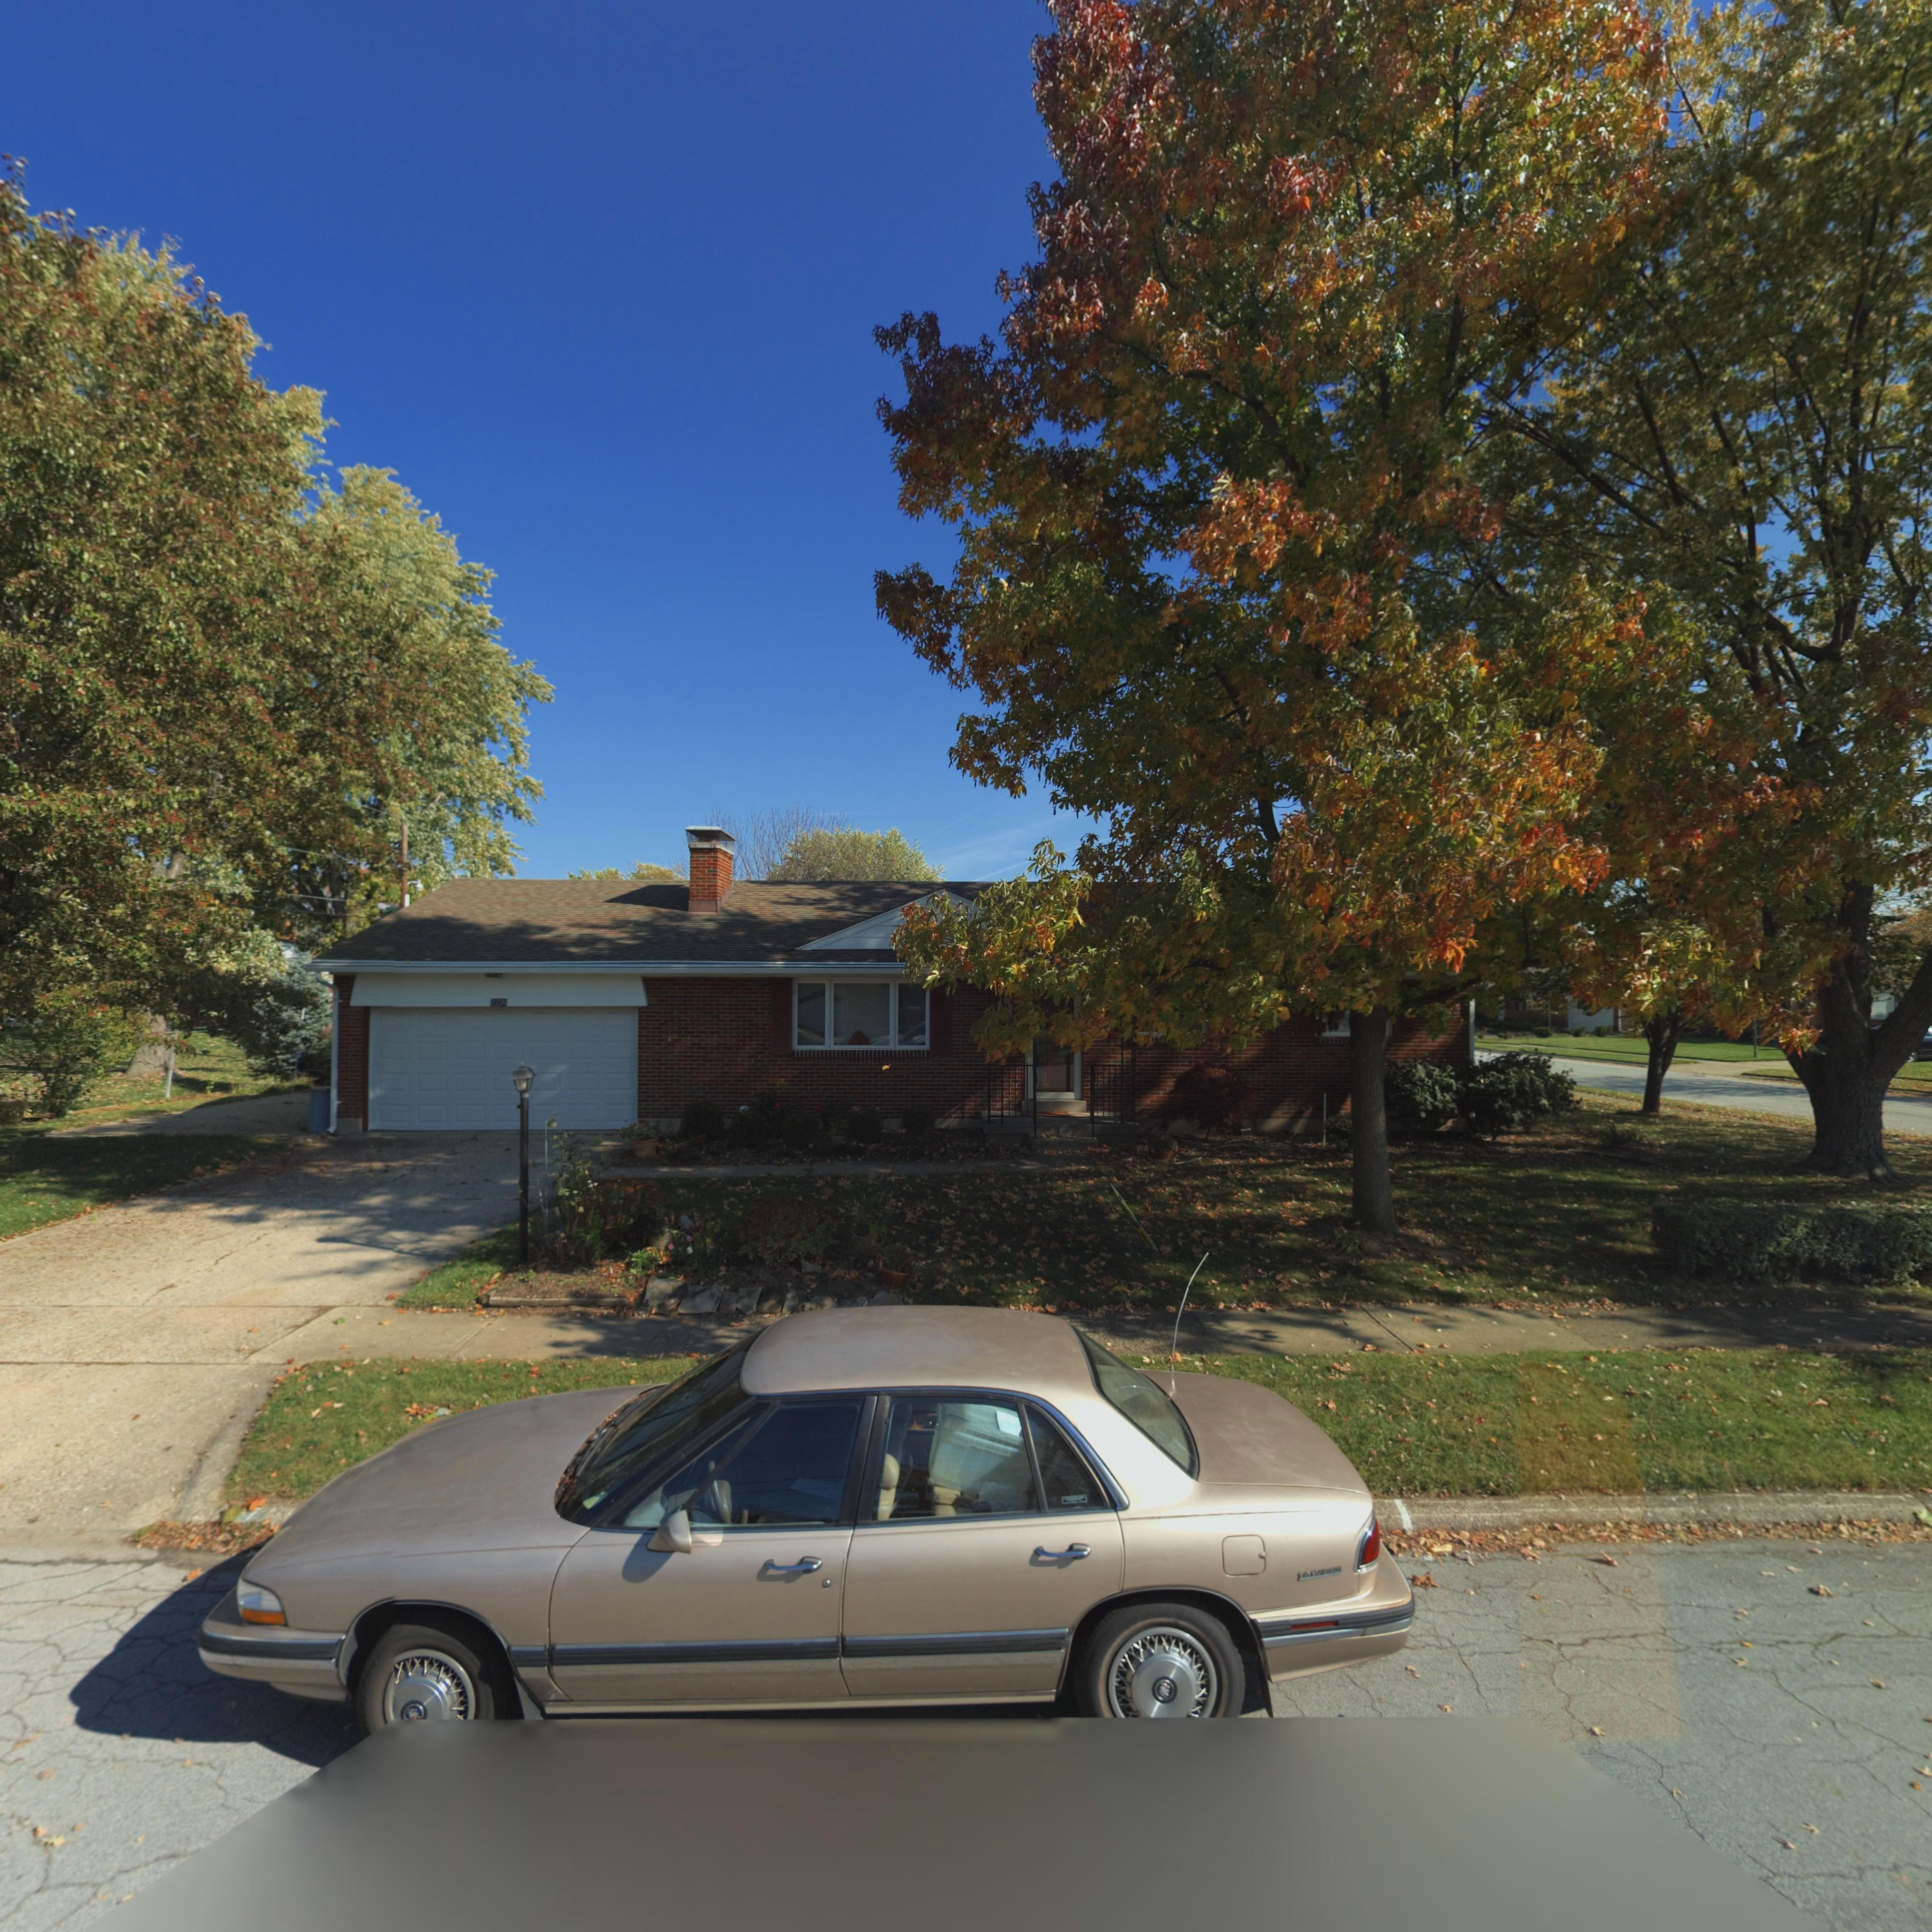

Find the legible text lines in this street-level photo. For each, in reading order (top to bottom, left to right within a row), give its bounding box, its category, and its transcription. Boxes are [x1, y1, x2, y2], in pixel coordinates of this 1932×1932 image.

[491, 998, 506, 1006] StreetNumber: 3730